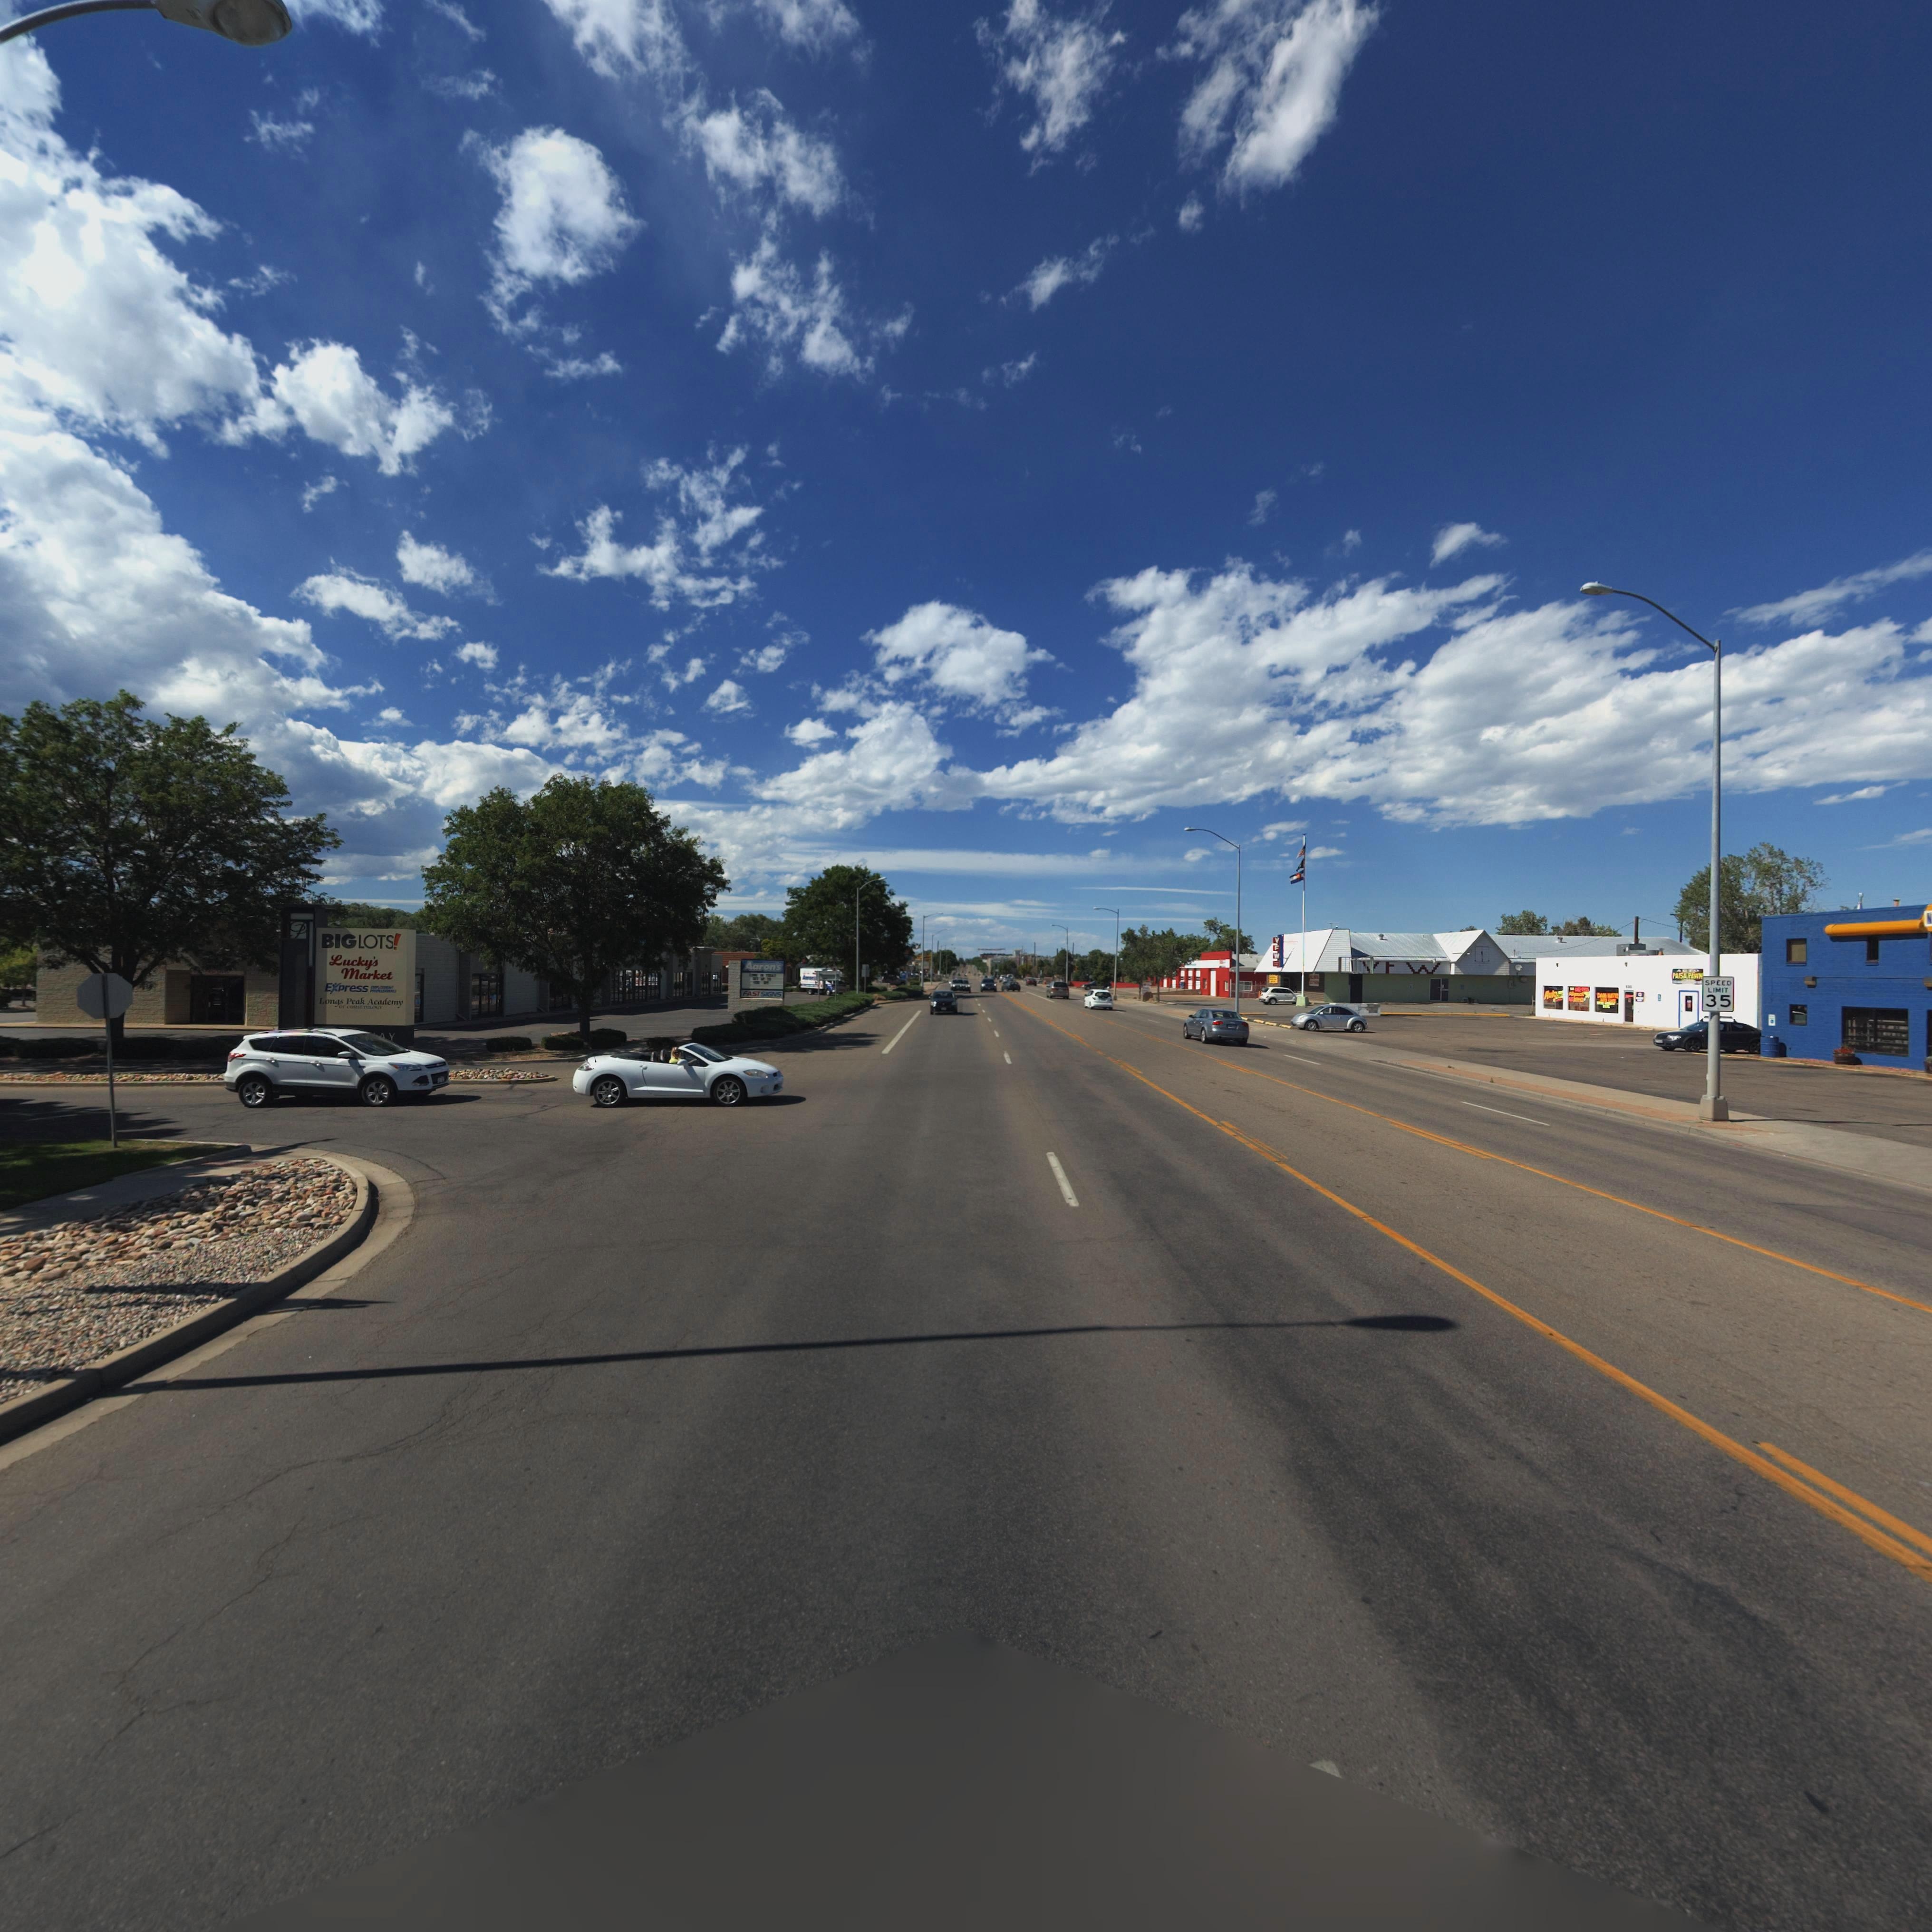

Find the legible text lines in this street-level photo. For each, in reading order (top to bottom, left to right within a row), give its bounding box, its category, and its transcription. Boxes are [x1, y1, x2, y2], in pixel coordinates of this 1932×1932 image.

[320, 933, 394, 950] BusinessName: BIGLOTS
[1273, 937, 1280, 959] BusinessName: VFW
[328, 954, 379, 971] BusinessName: Lucky's
[340, 967, 394, 980] BusinessName: Market
[744, 961, 781, 970] BusinessName: Aaron's
[1359, 960, 1442, 975] BusinessName: VFW
[1672, 972, 1703, 979] BusinessName: PAISA PAWN
[1676, 969, 1700, 973] BusinessName: AUTO
[324, 982, 369, 995] BusinessName: EXpress
[370, 985, 394, 989] BusinessName: **PLO***T
[369, 989, 397, 993] BusinessName: P*O*****O**LS
[742, 990, 782, 997] BusinessName: FASTSIGNS
[1597, 992, 1601, 999] BusinessName: D
[1625, 985, 1632, 988] StreetNumber: 13*
[318, 996, 404, 1009] BusinessName: Longs Peak Academy